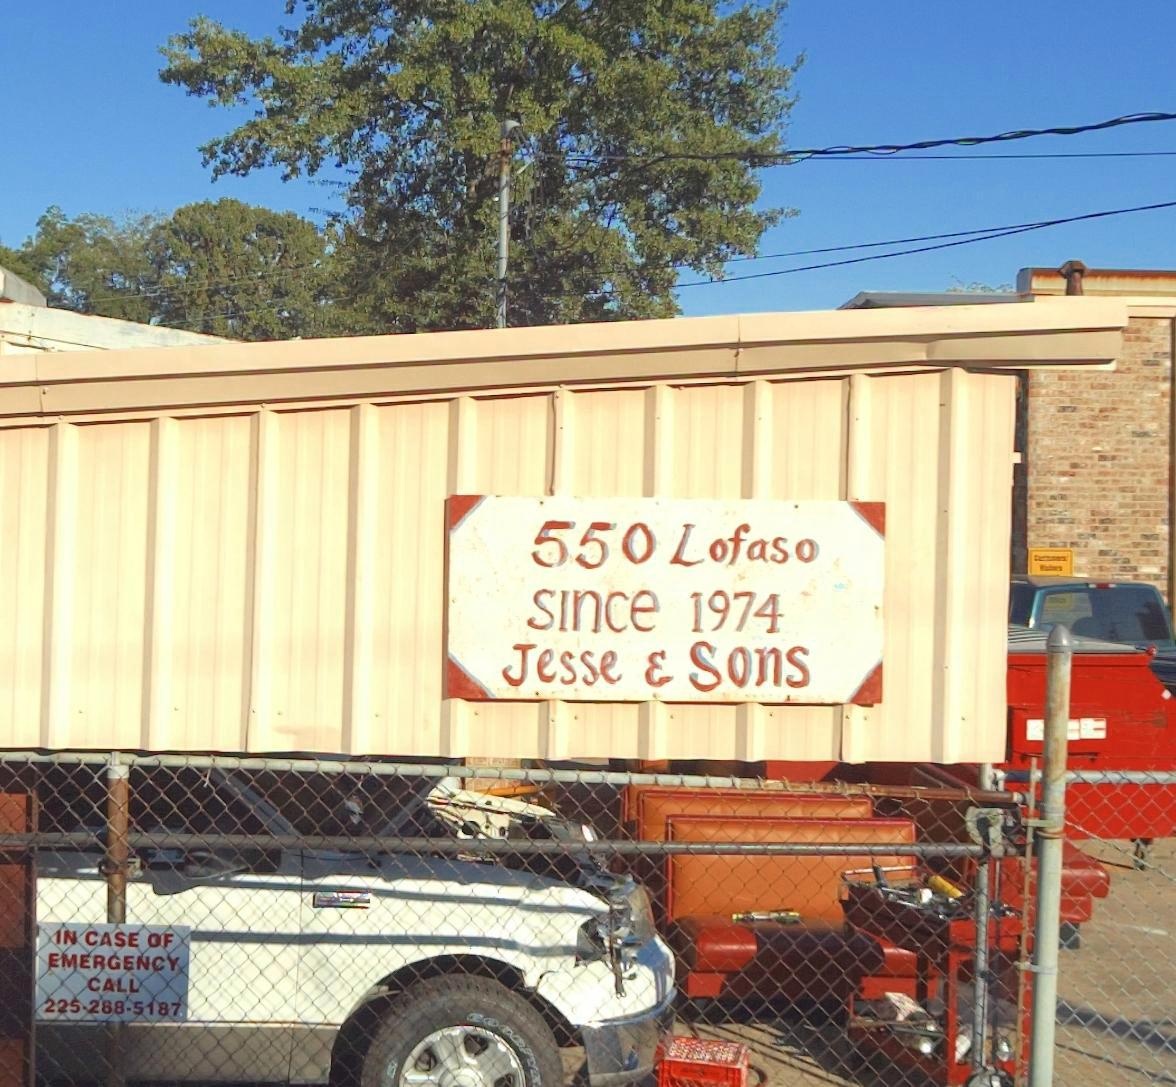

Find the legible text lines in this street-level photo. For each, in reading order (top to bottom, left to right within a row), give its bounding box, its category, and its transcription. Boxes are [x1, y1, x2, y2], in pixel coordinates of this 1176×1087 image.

[528, 517, 658, 572] StreetNumber: 550
[661, 518, 825, 573] StreetName: Lofaso
[523, 584, 790, 637] None: since 1974
[496, 638, 815, 697] BusinessName: Jesse & Sons
[83, 974, 143, 996] None: CALL
[42, 995, 185, 1019] None: 225-2*8-5187
[52, 927, 177, 950] None: IN CASE OF
[45, 950, 185, 975] None: EMERGENCY